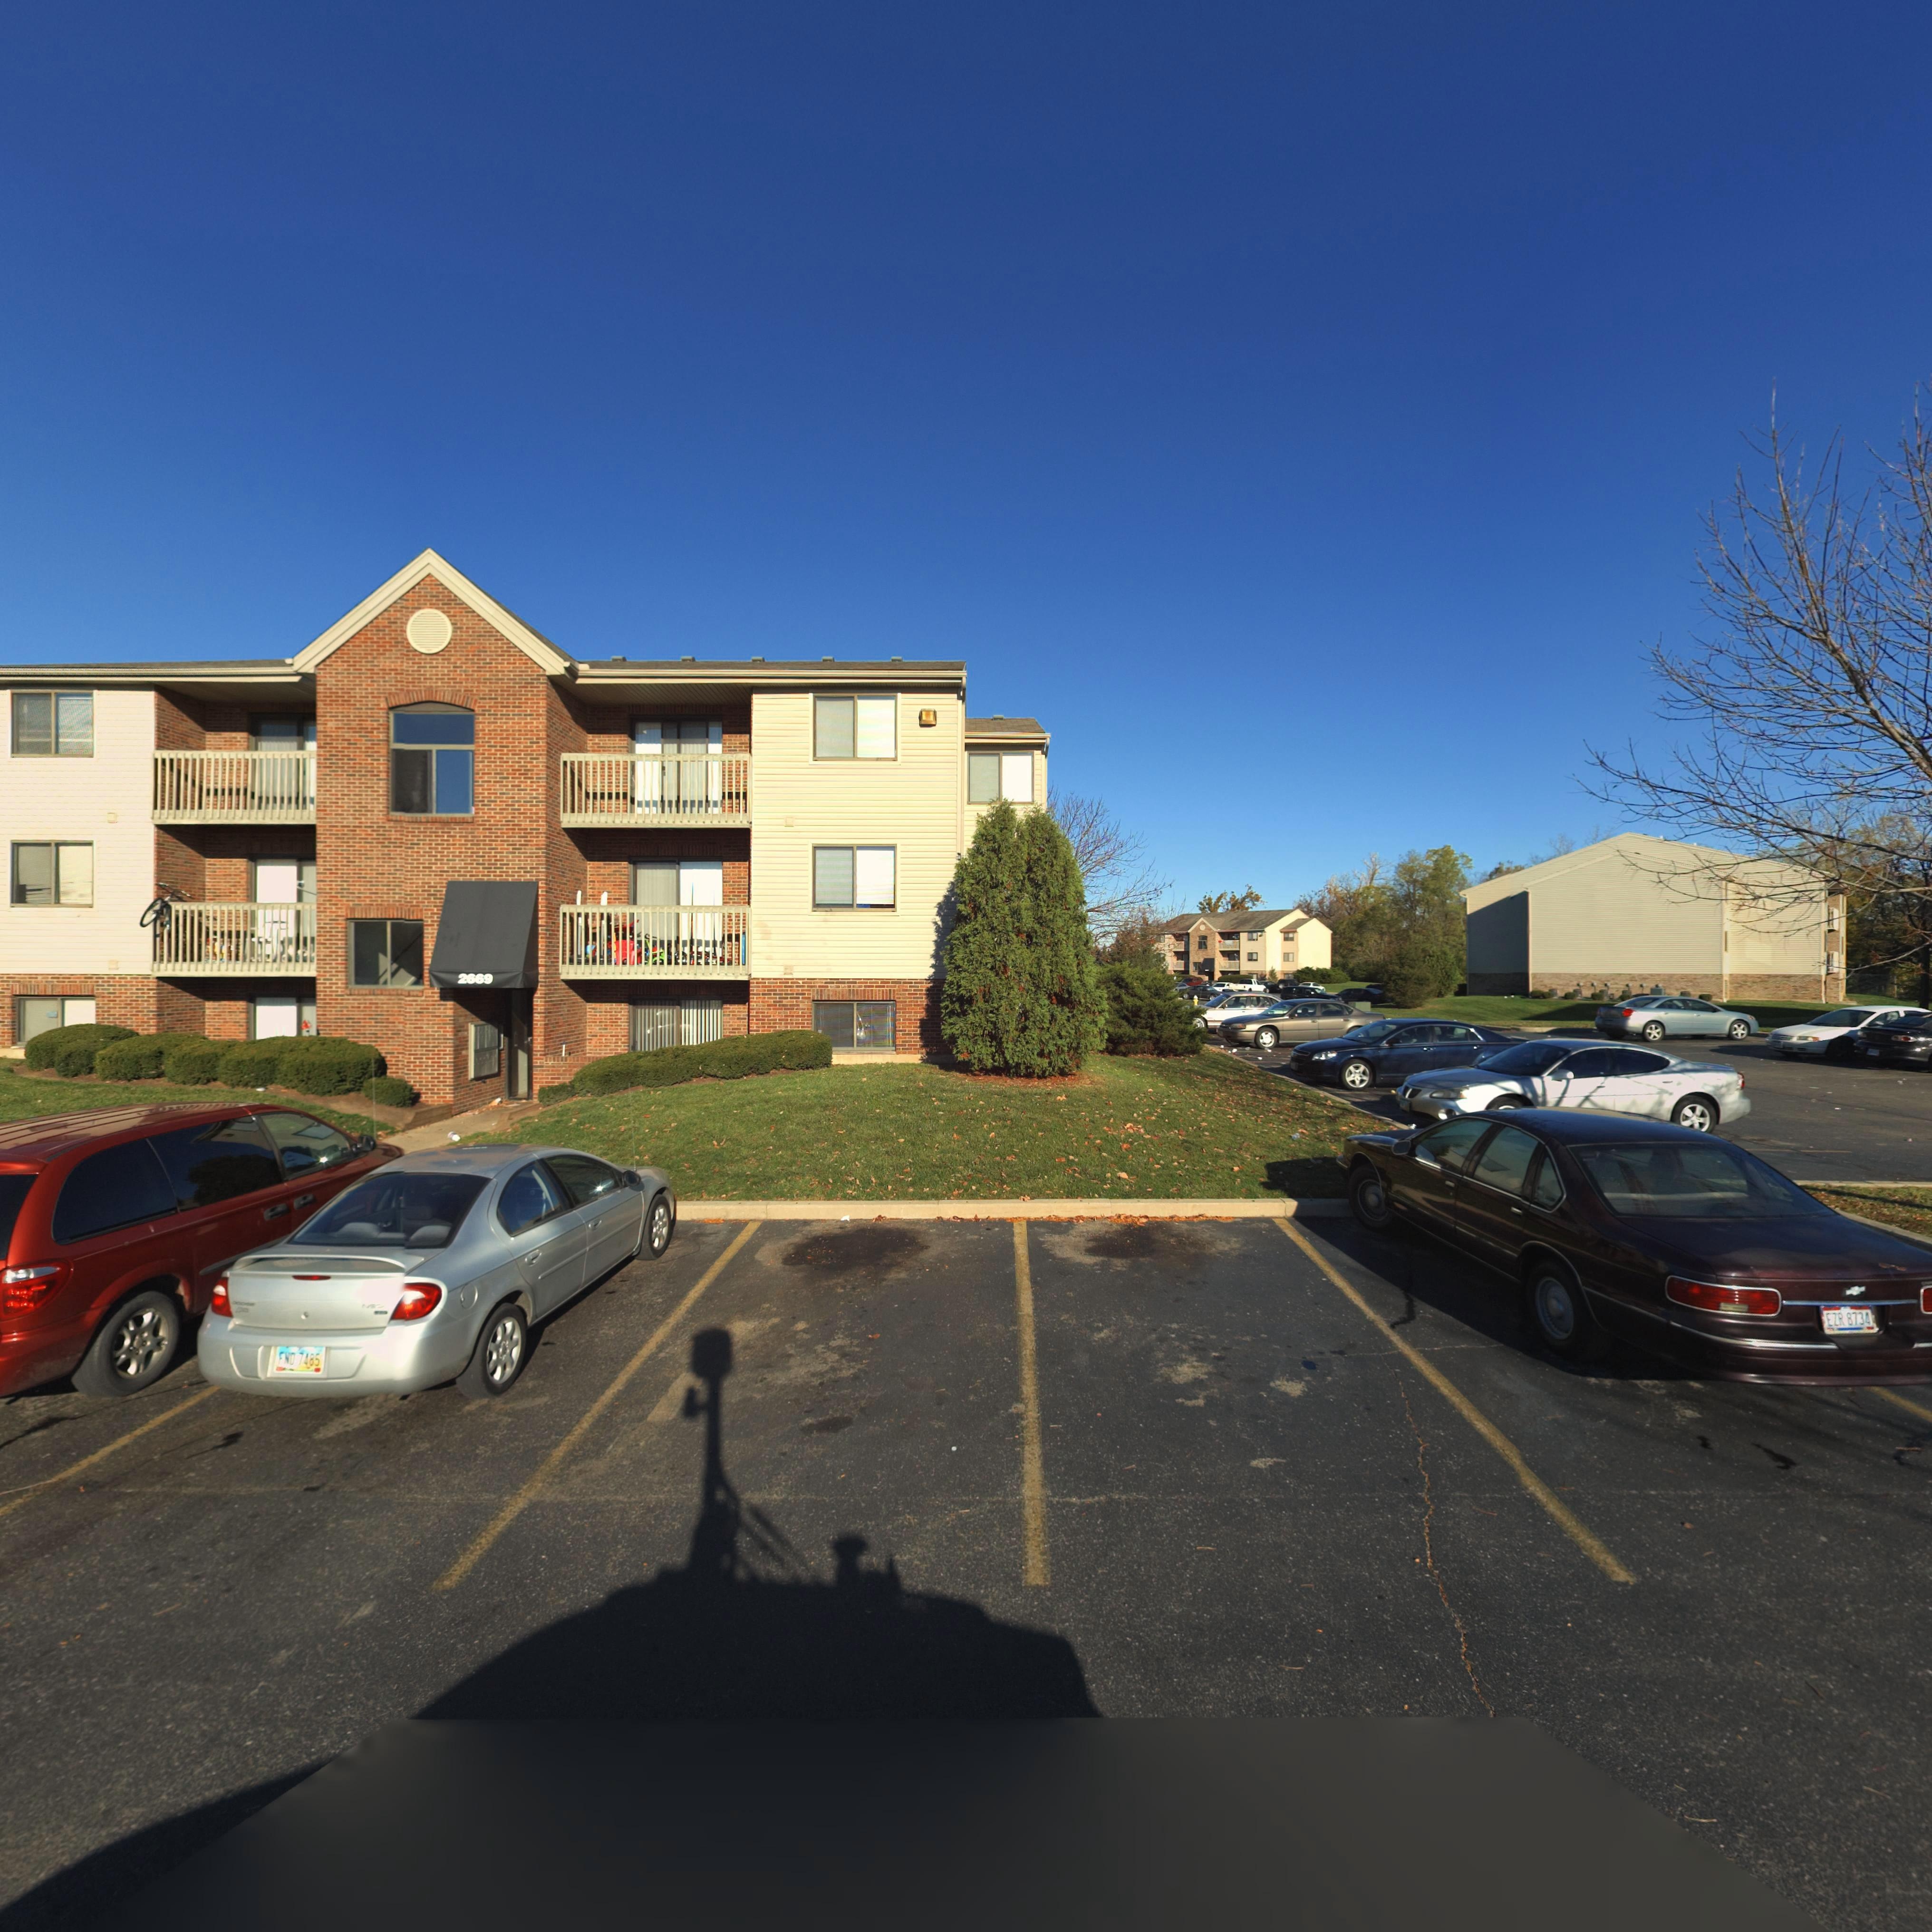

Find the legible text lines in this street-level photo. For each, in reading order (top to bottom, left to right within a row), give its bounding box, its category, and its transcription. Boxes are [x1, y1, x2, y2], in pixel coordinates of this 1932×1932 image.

[457, 973, 494, 985] StreetNumber: 2669